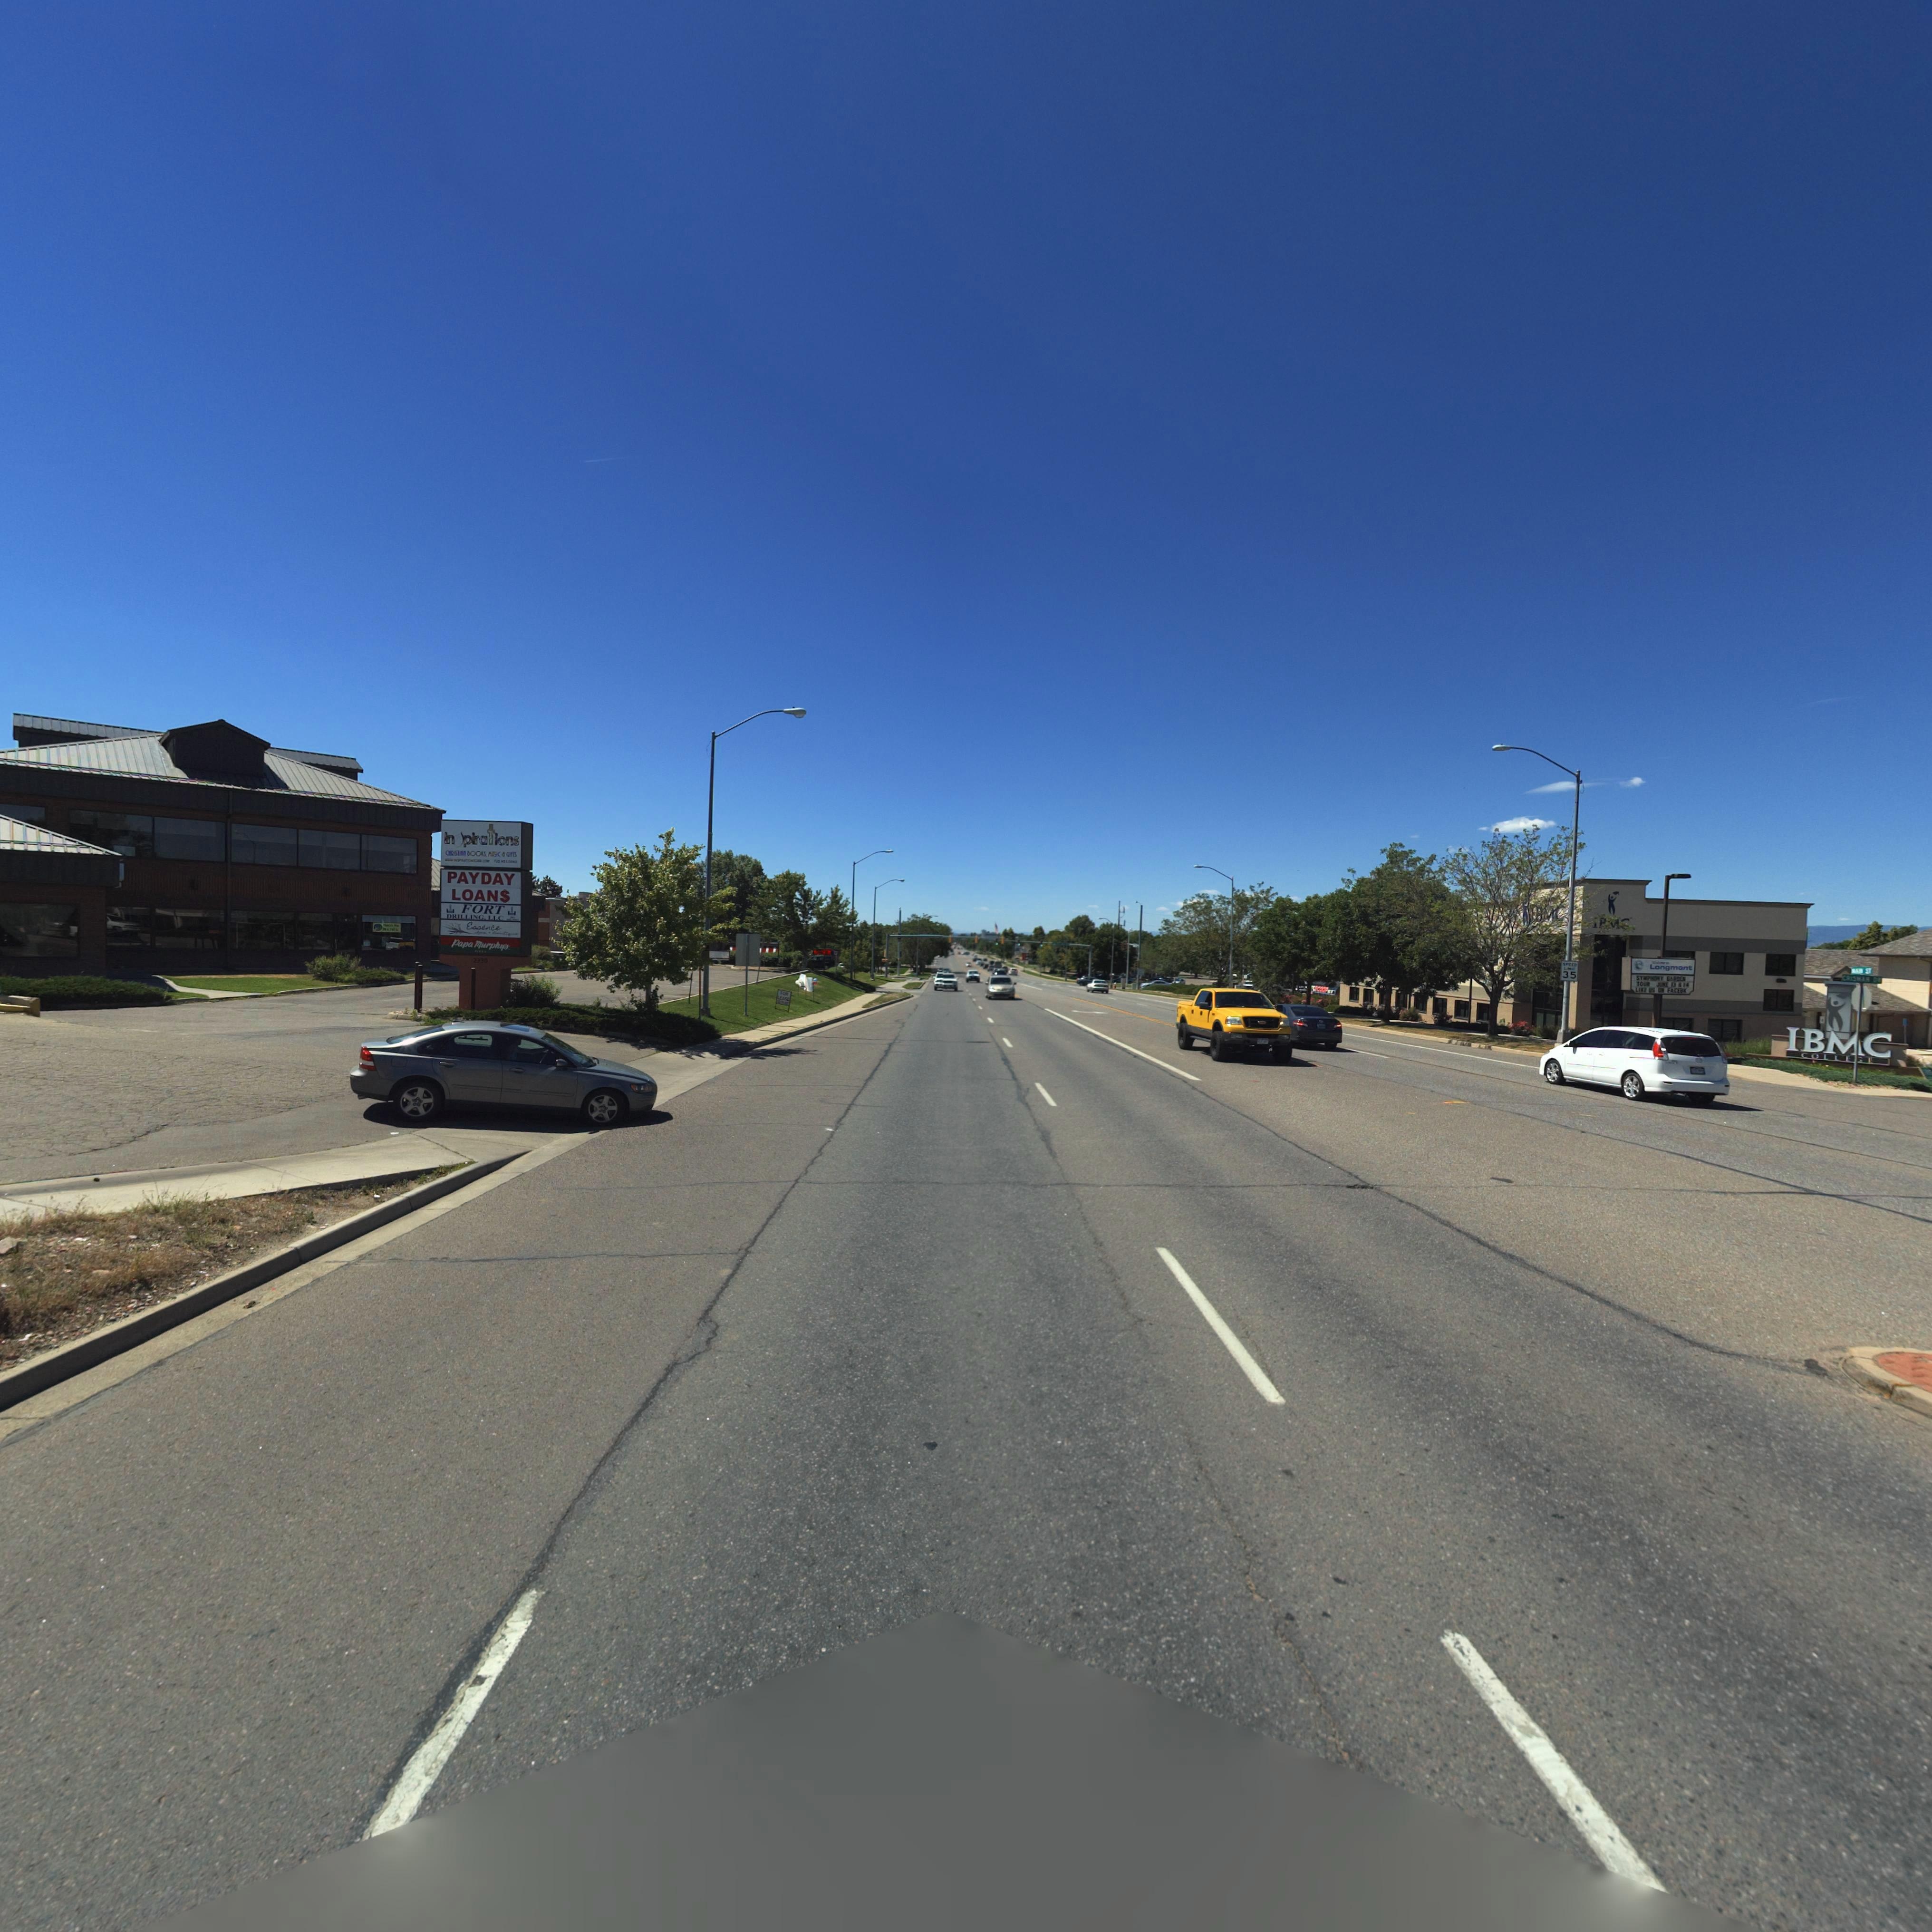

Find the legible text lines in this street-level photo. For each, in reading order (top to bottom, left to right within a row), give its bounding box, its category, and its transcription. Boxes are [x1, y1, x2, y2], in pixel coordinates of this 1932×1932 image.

[444, 823, 519, 848] BusinessName: in*pirations
[446, 871, 516, 886] BusinessName: PAYDAY
[452, 888, 510, 903] BusinessName: LOAN$
[446, 913, 503, 920] BusinessName: DRILLING, LLC
[461, 903, 506, 914] BusinessName: FORT
[1529, 905, 1565, 923] BusinessName: *BM*
[382, 923, 399, 927] BusinessName: M******* ***
[466, 920, 502, 931] BusinessName: Essence
[1593, 916, 1630, 929] BusinessName: IBM*
[450, 938, 510, 951] BusinessName: Papa Murphy's
[473, 958, 488, 963] StreetNumber: 2330
[1851, 968, 1872, 974] StreetName: **** ST
[1842, 974, 1882, 983] StreetName: CRISMAN C*
[1785, 1026, 1892, 1058] BusinessName: IBMC
[1801, 1052, 1874, 1063] BusinessName: COLLEGE